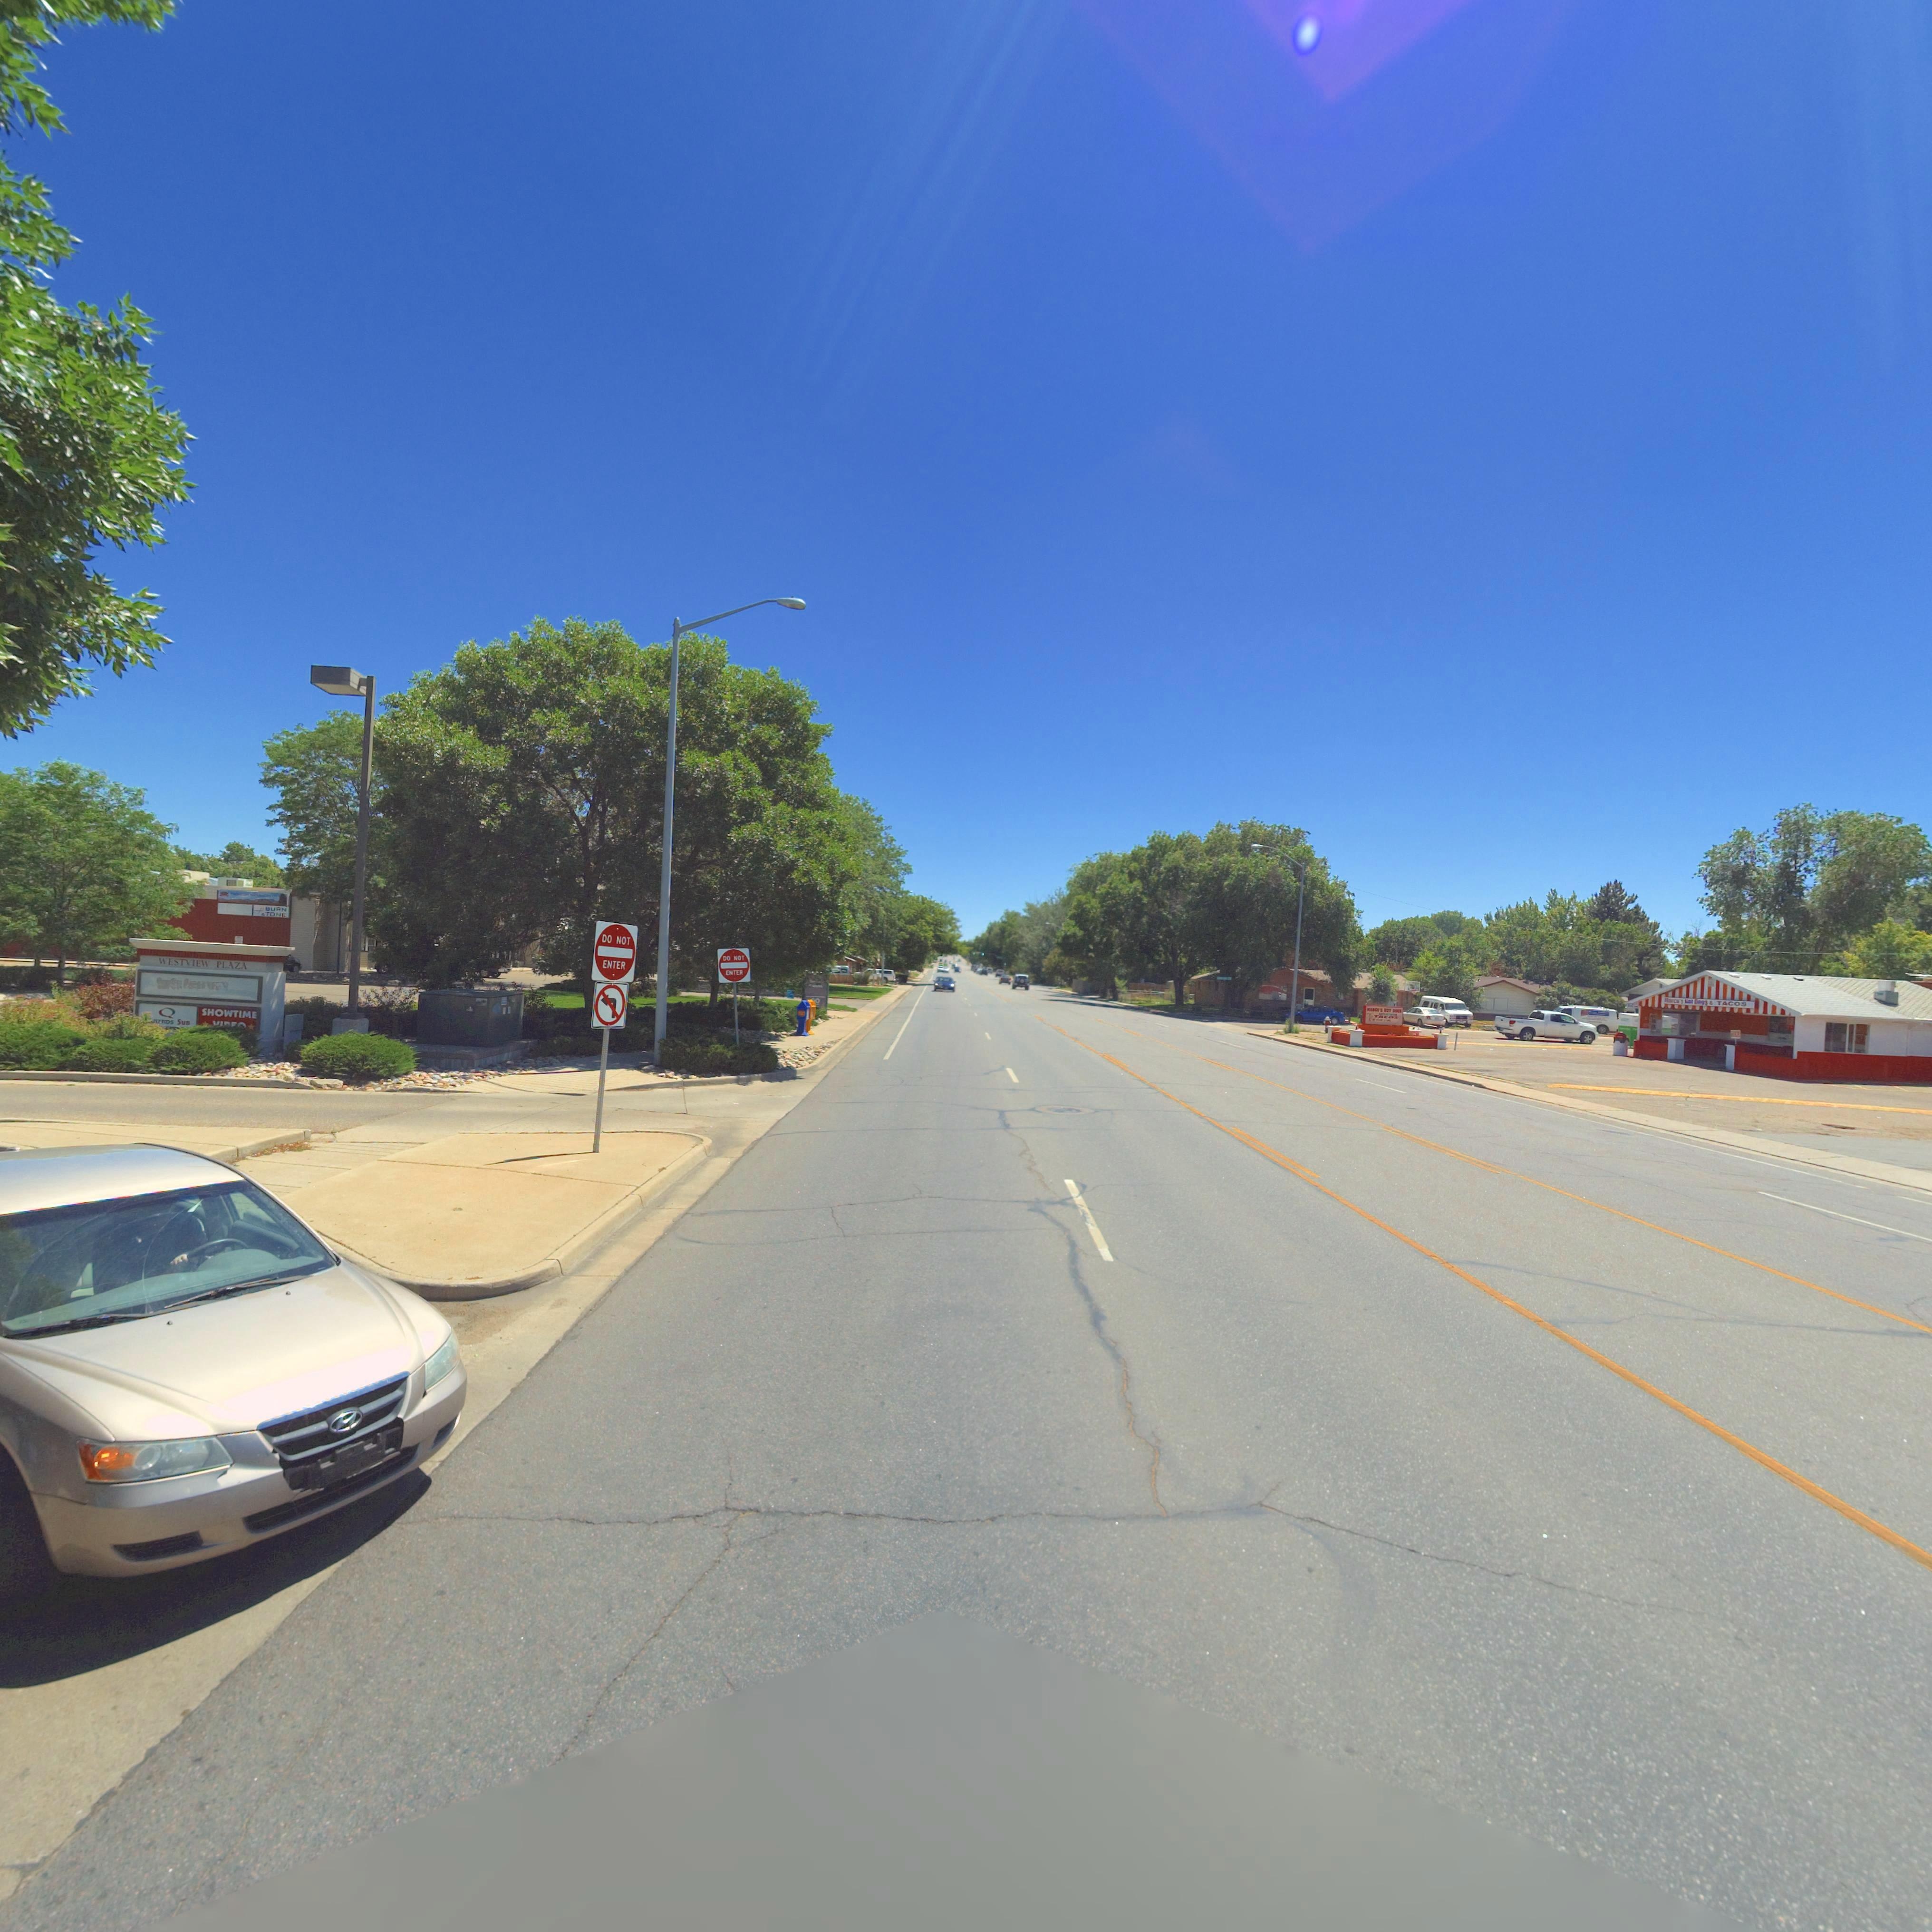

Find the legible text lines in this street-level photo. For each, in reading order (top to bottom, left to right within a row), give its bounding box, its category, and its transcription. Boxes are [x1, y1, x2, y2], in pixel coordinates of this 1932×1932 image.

[265, 906, 287, 912] BusinessName: BURN
[260, 911, 286, 918] BusinessName: & TONE
[1663, 997, 1747, 1006] BusinessName: M**co's Hot Dogs & TACOS
[200, 1007, 258, 1019] BusinessName: SHOWTIME
[1367, 1007, 1401, 1013] BusinessName: ******* HOT DOGS
[1374, 1014, 1399, 1019] BusinessName: TACOS
[153, 1018, 190, 1025] BusinessName: ***** Sub